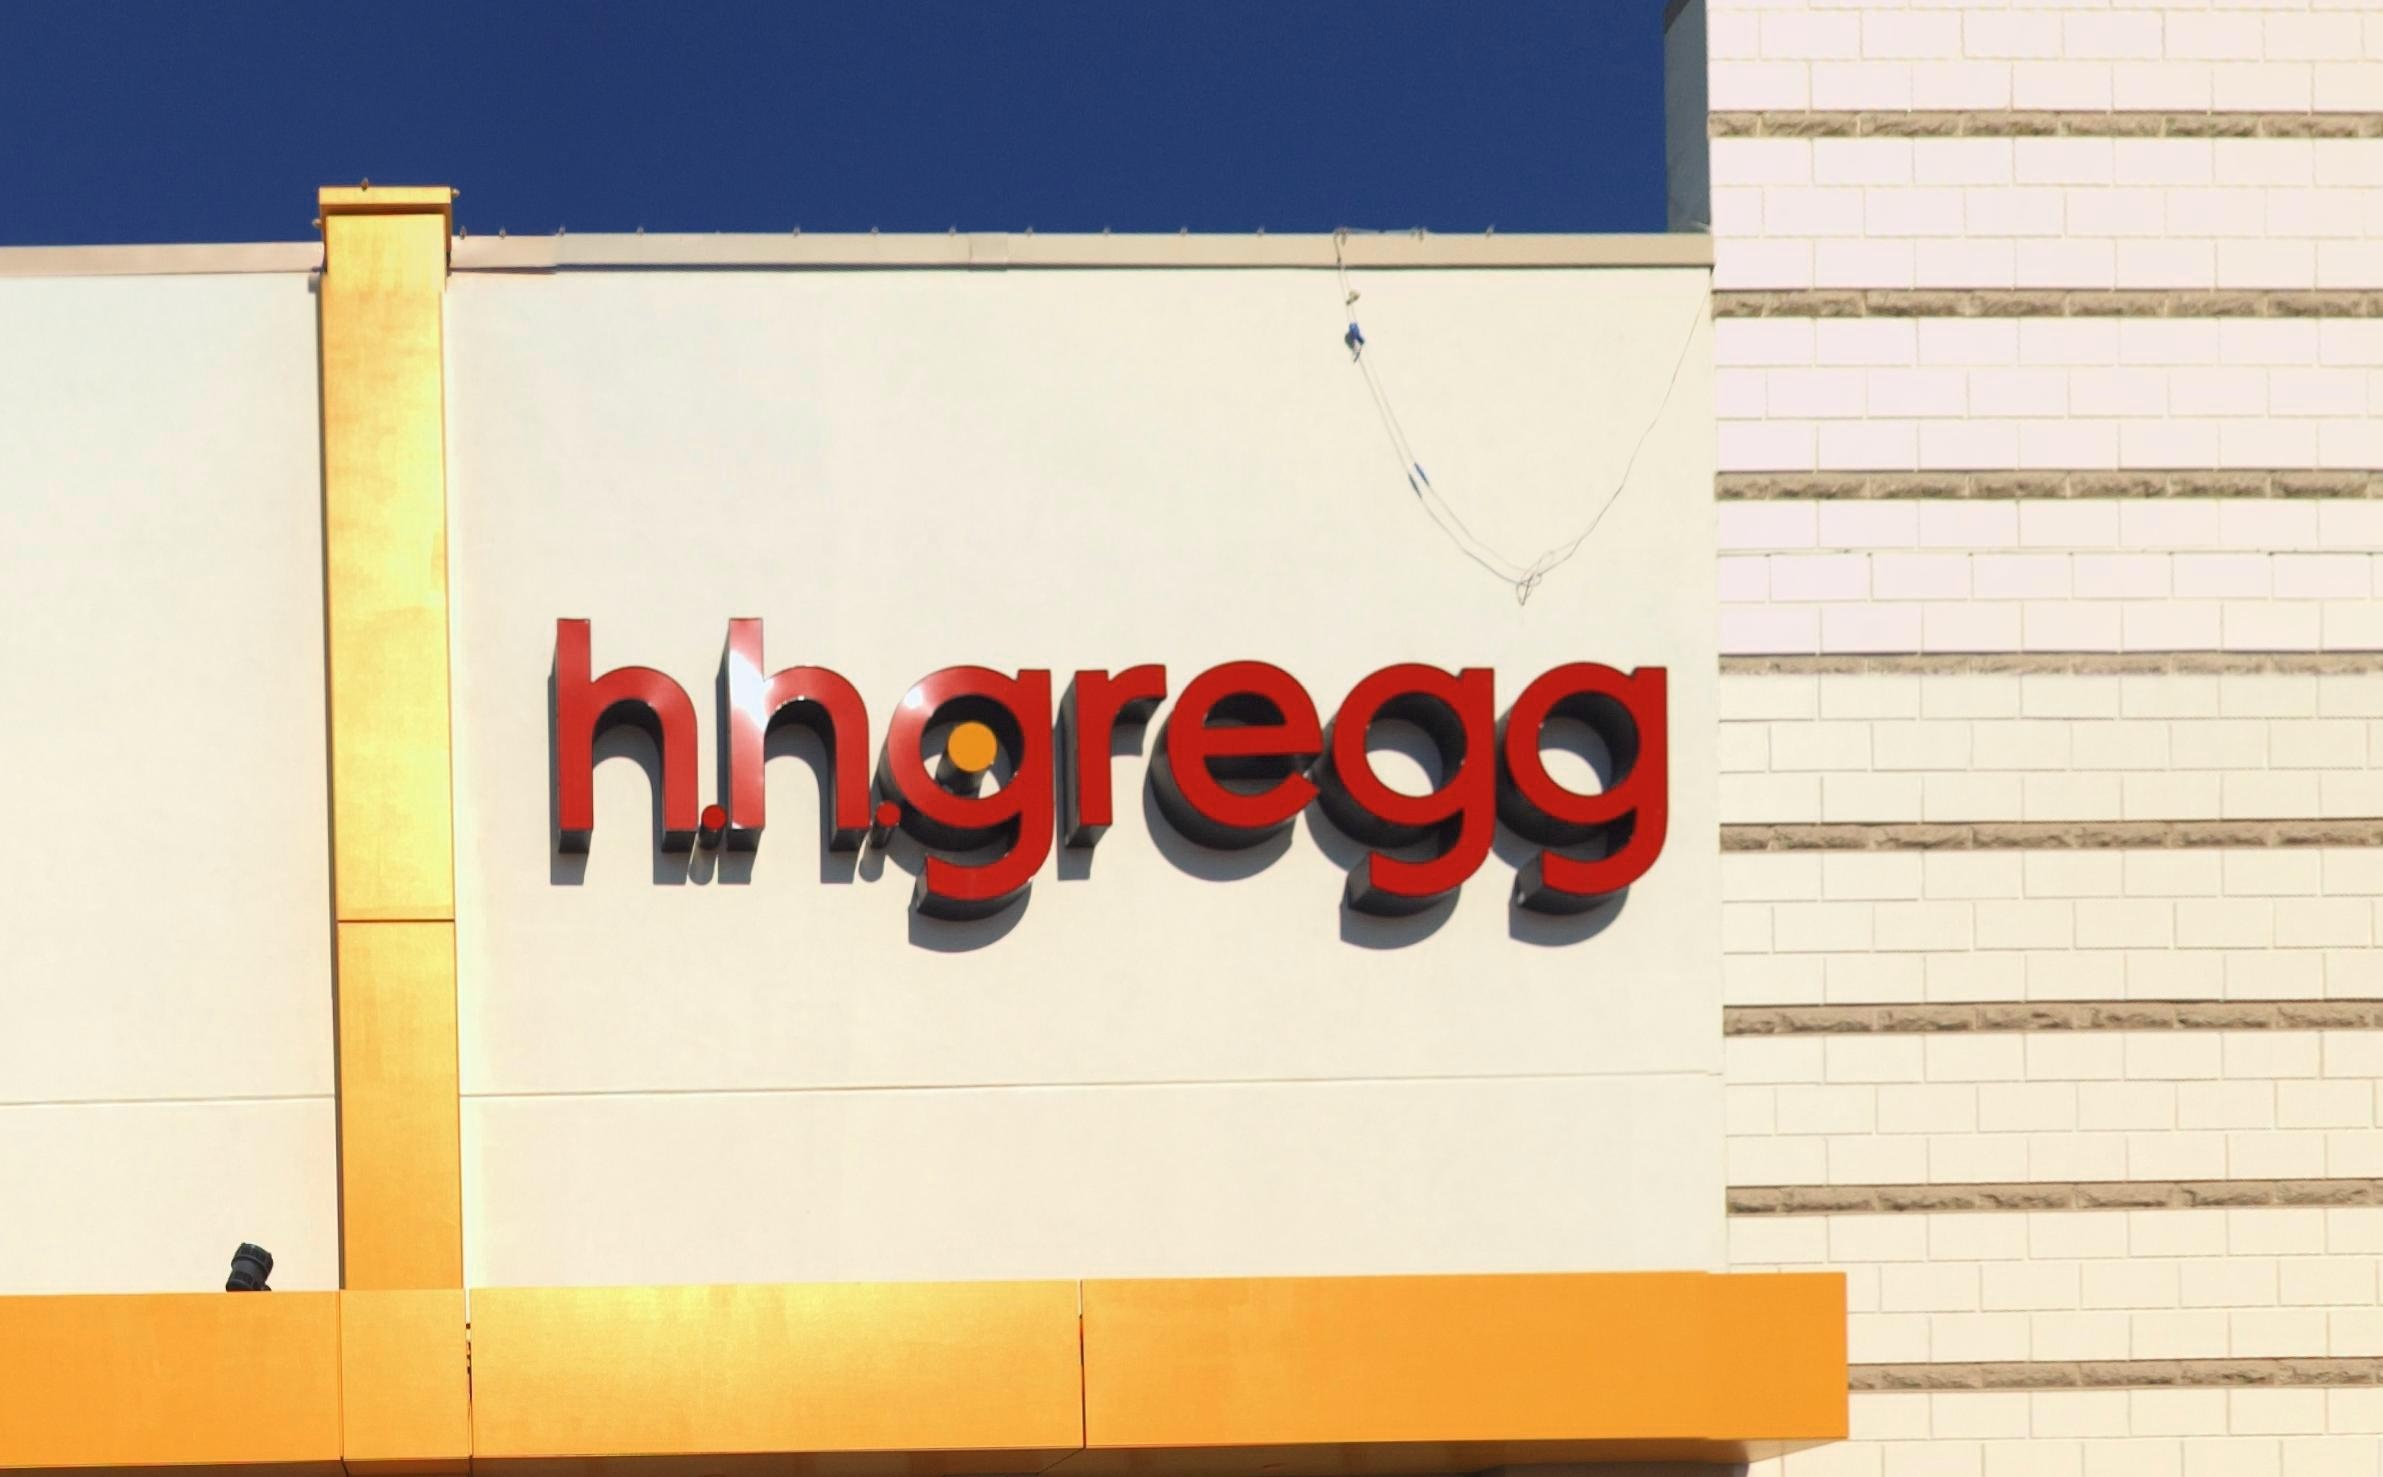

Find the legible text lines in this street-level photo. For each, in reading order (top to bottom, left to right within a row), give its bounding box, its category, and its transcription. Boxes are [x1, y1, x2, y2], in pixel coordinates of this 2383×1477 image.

[549, 606, 1678, 913] BusinessName: h.h.gregg